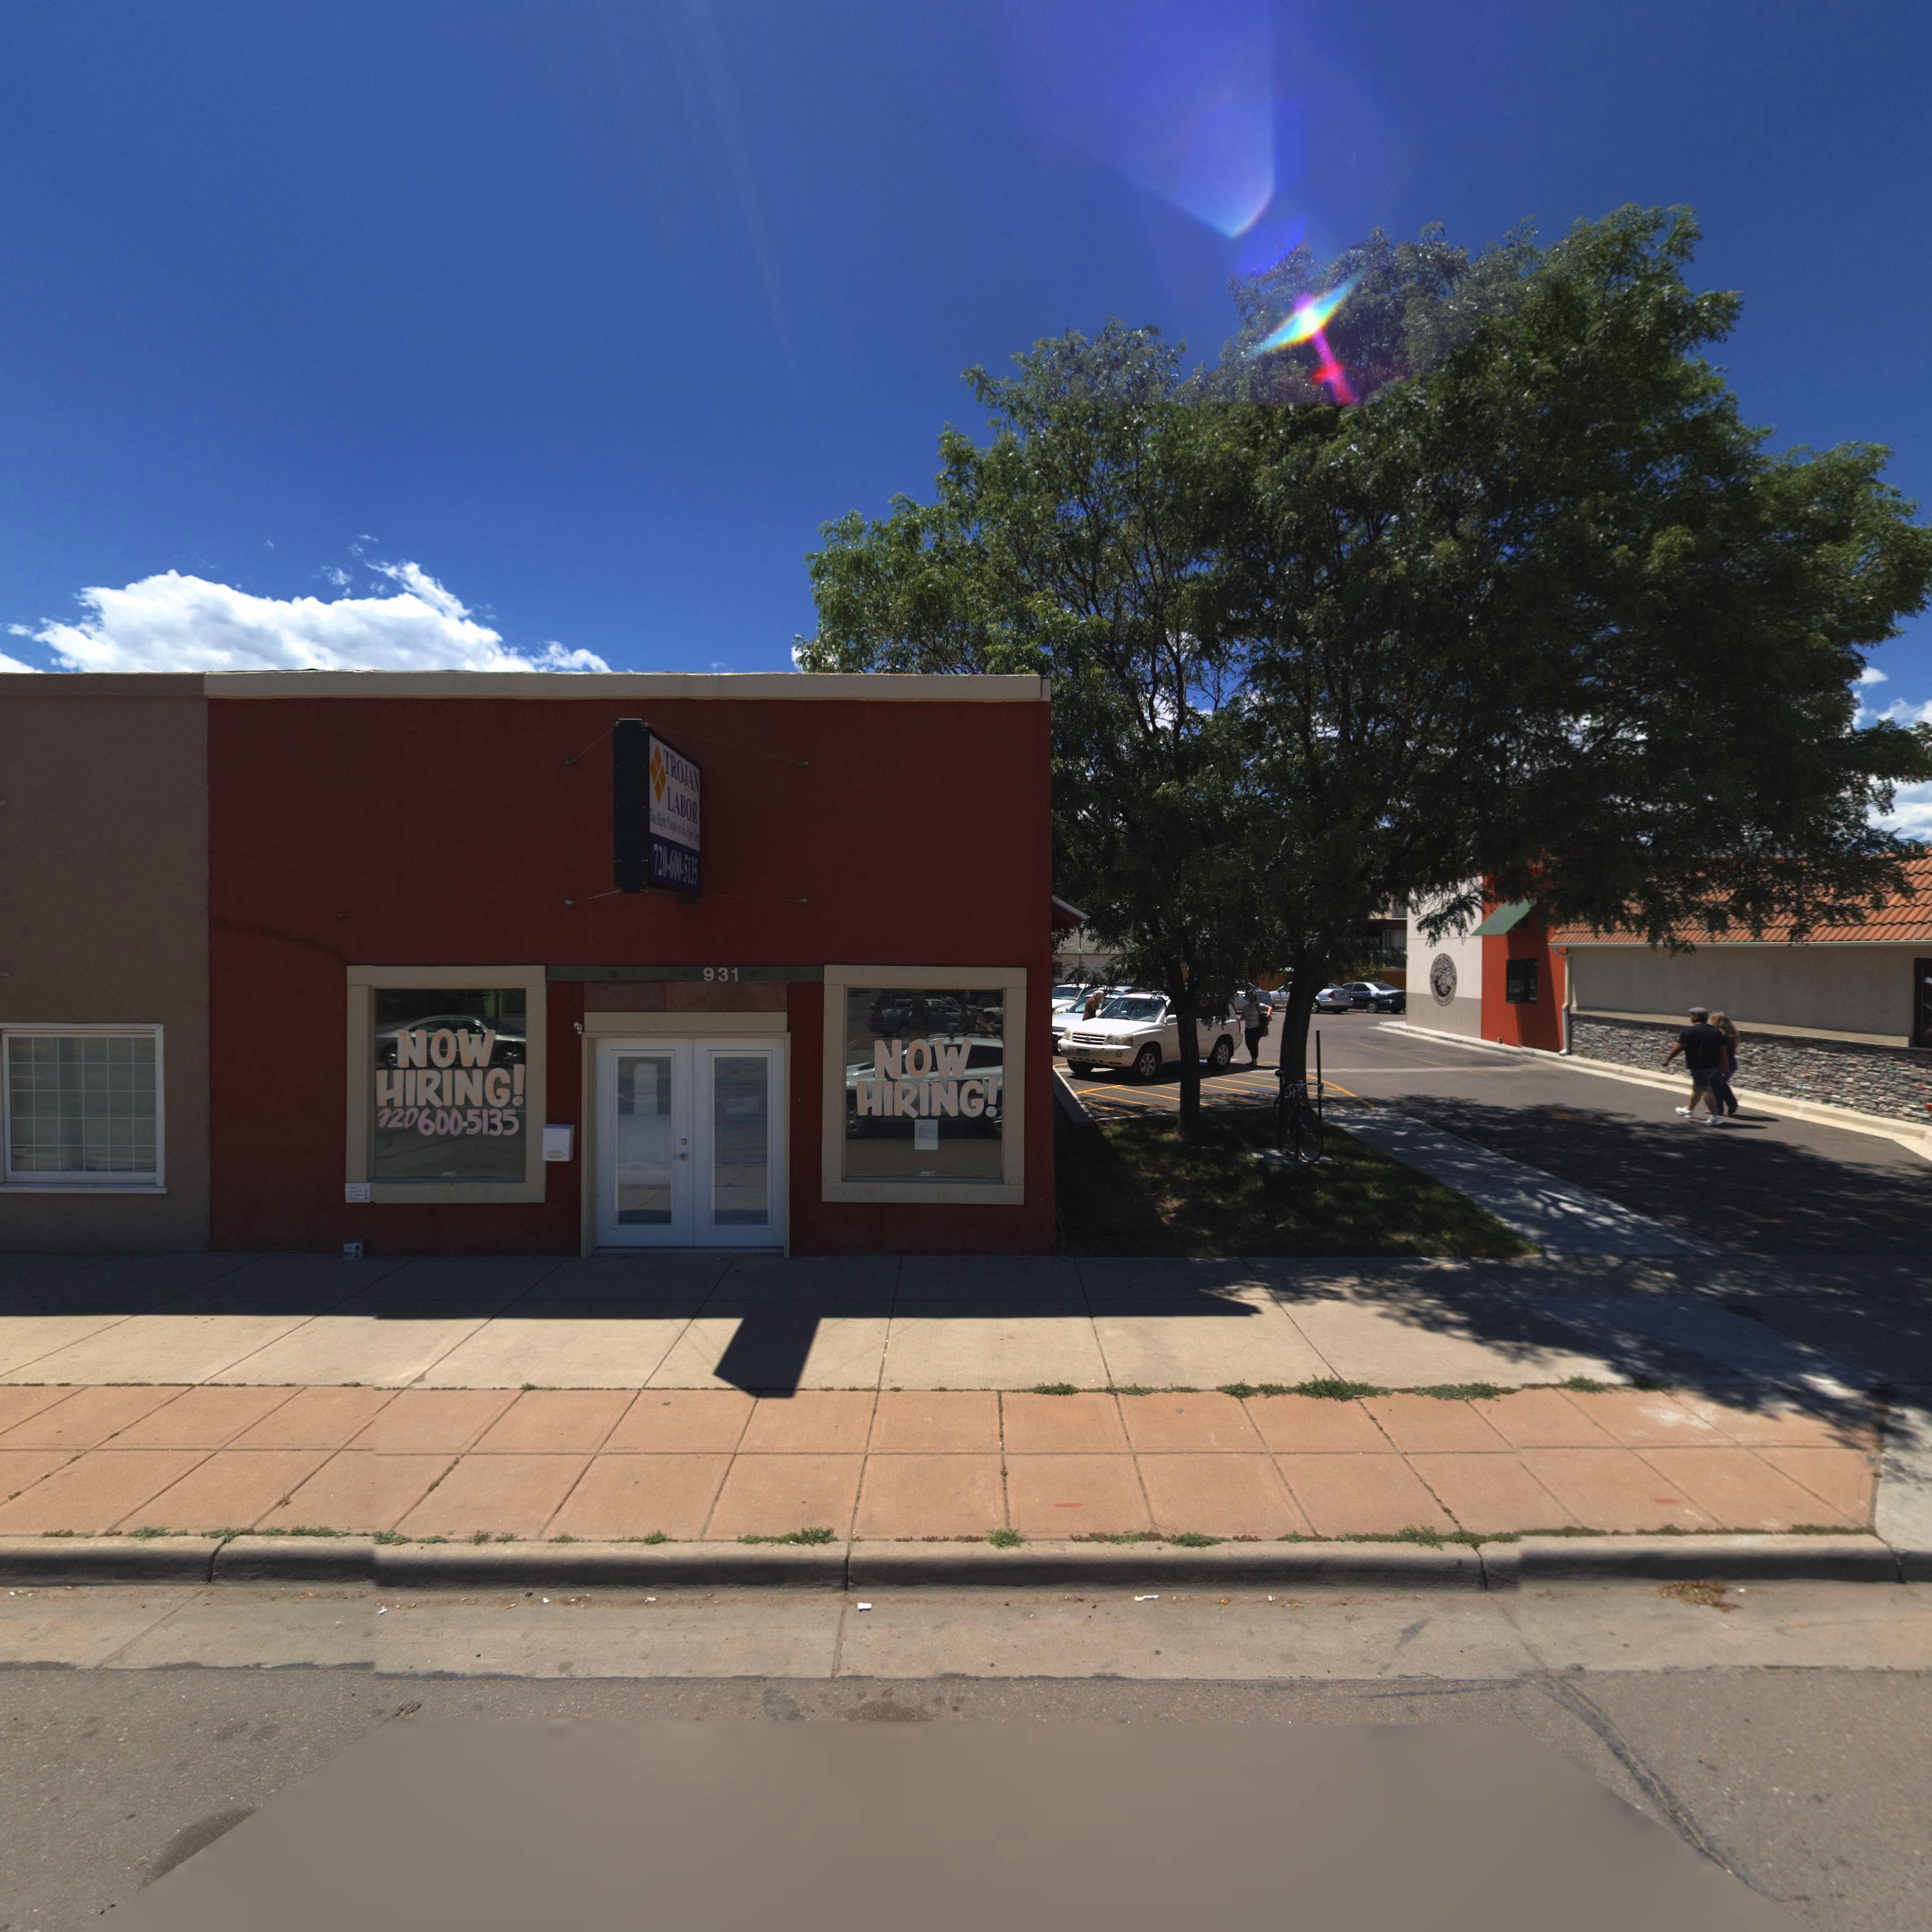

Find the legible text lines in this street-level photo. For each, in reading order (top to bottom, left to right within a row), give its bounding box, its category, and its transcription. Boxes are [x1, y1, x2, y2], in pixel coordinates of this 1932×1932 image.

[663, 749, 699, 793] BusinessName: TROJAN
[666, 785, 697, 825] BusinessName: LABOR
[703, 966, 738, 982] StreetNumber: 931